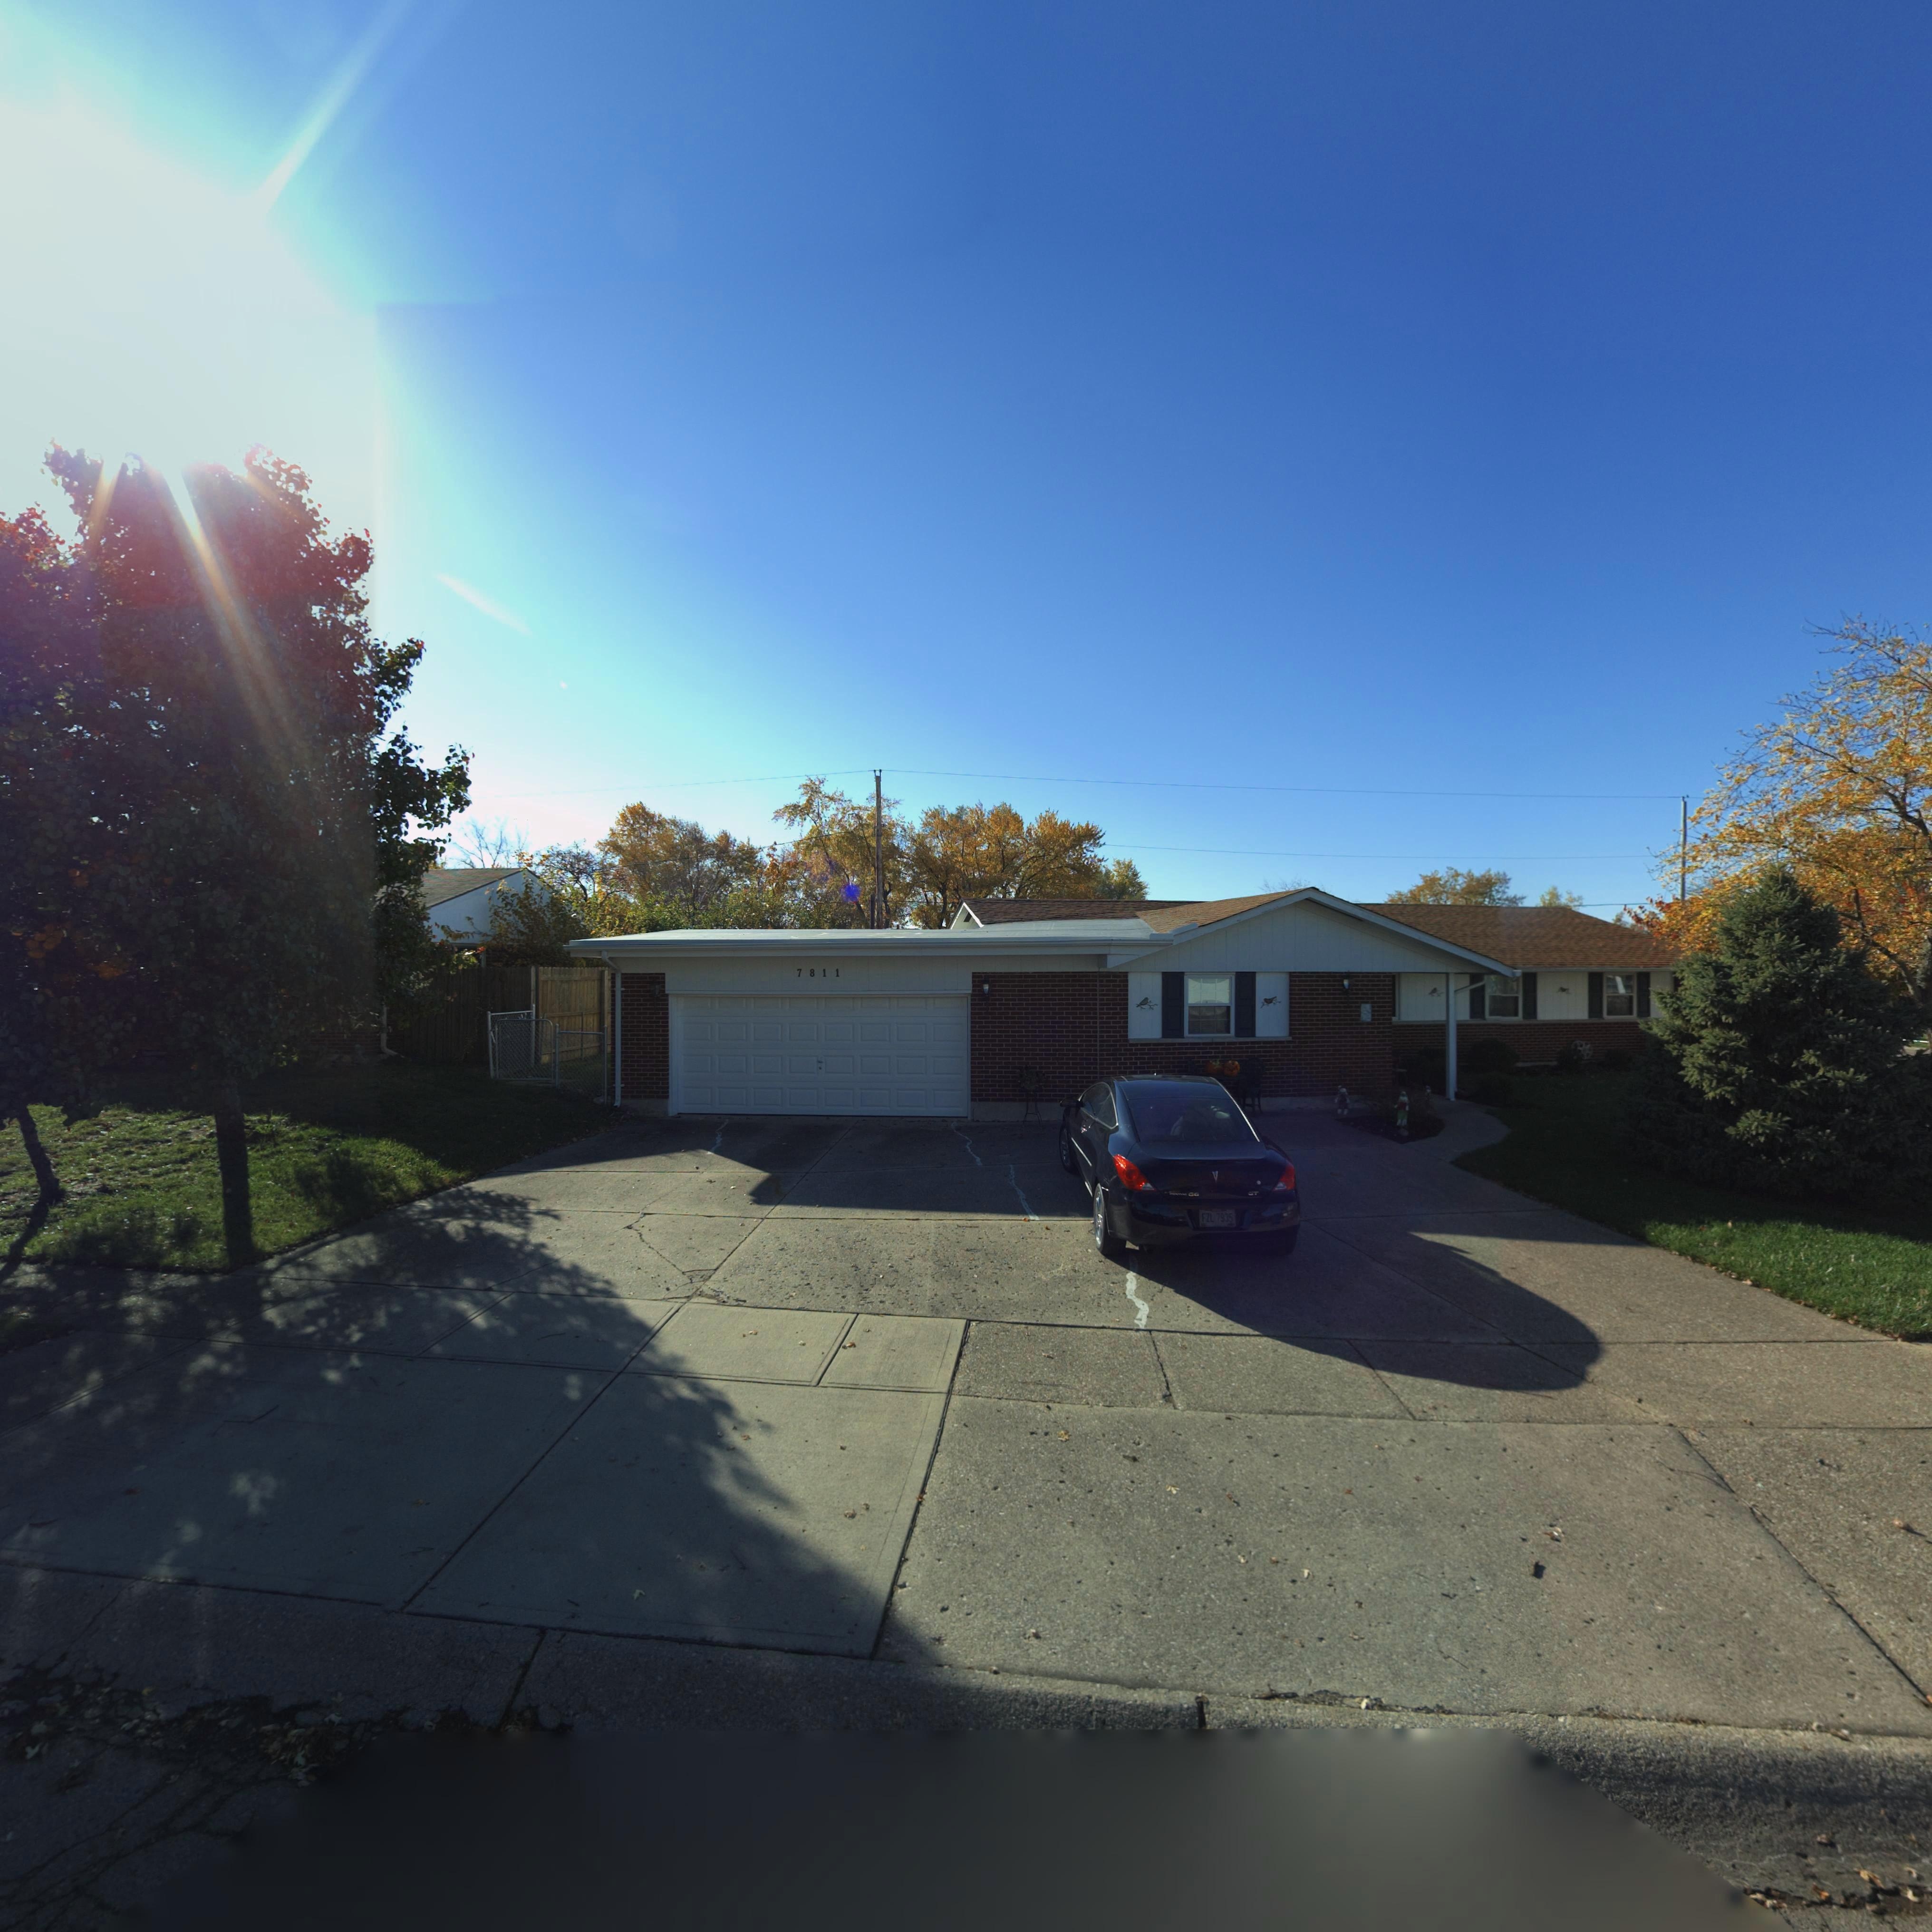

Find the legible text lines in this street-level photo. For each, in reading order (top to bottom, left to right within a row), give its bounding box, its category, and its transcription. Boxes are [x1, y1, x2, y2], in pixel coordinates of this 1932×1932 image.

[796, 968, 840, 978] StreetNumber: 7811